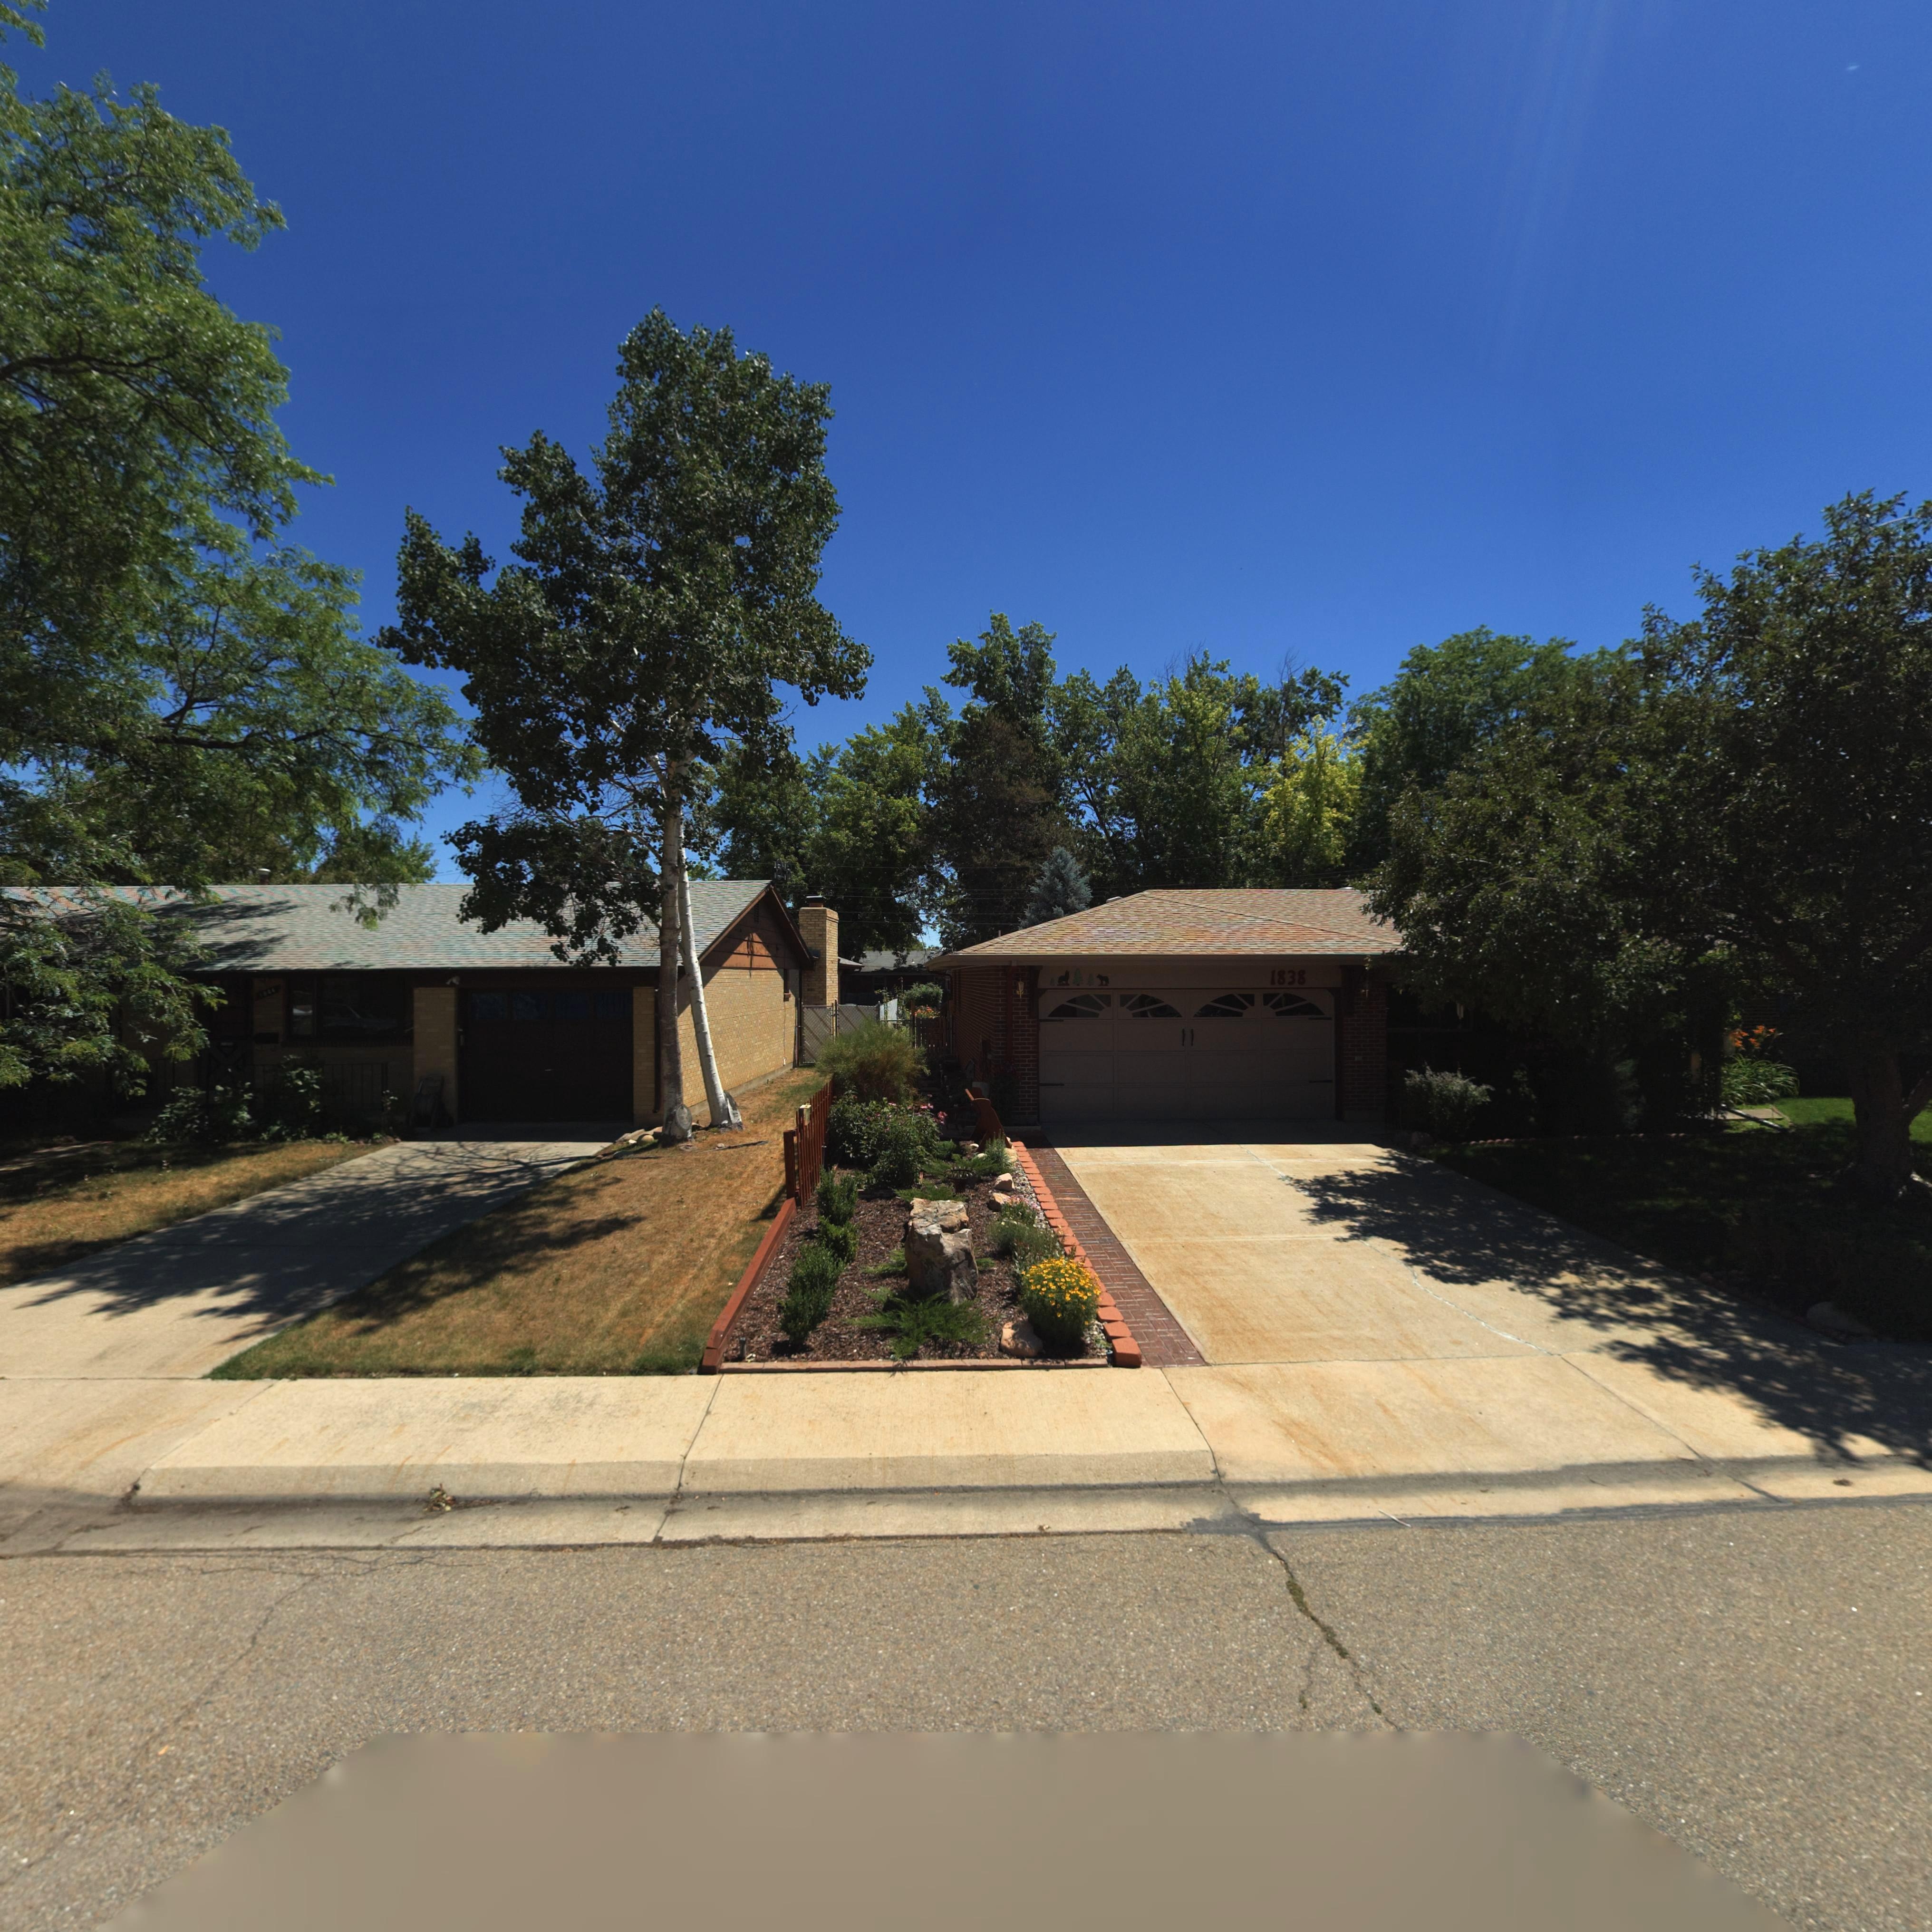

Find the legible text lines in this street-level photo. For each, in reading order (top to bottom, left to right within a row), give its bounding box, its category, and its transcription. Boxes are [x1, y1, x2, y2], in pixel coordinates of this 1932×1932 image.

[1271, 968, 1306, 985] StreetNumber: 1838
[258, 986, 275, 999] StreetNumber: 18*4